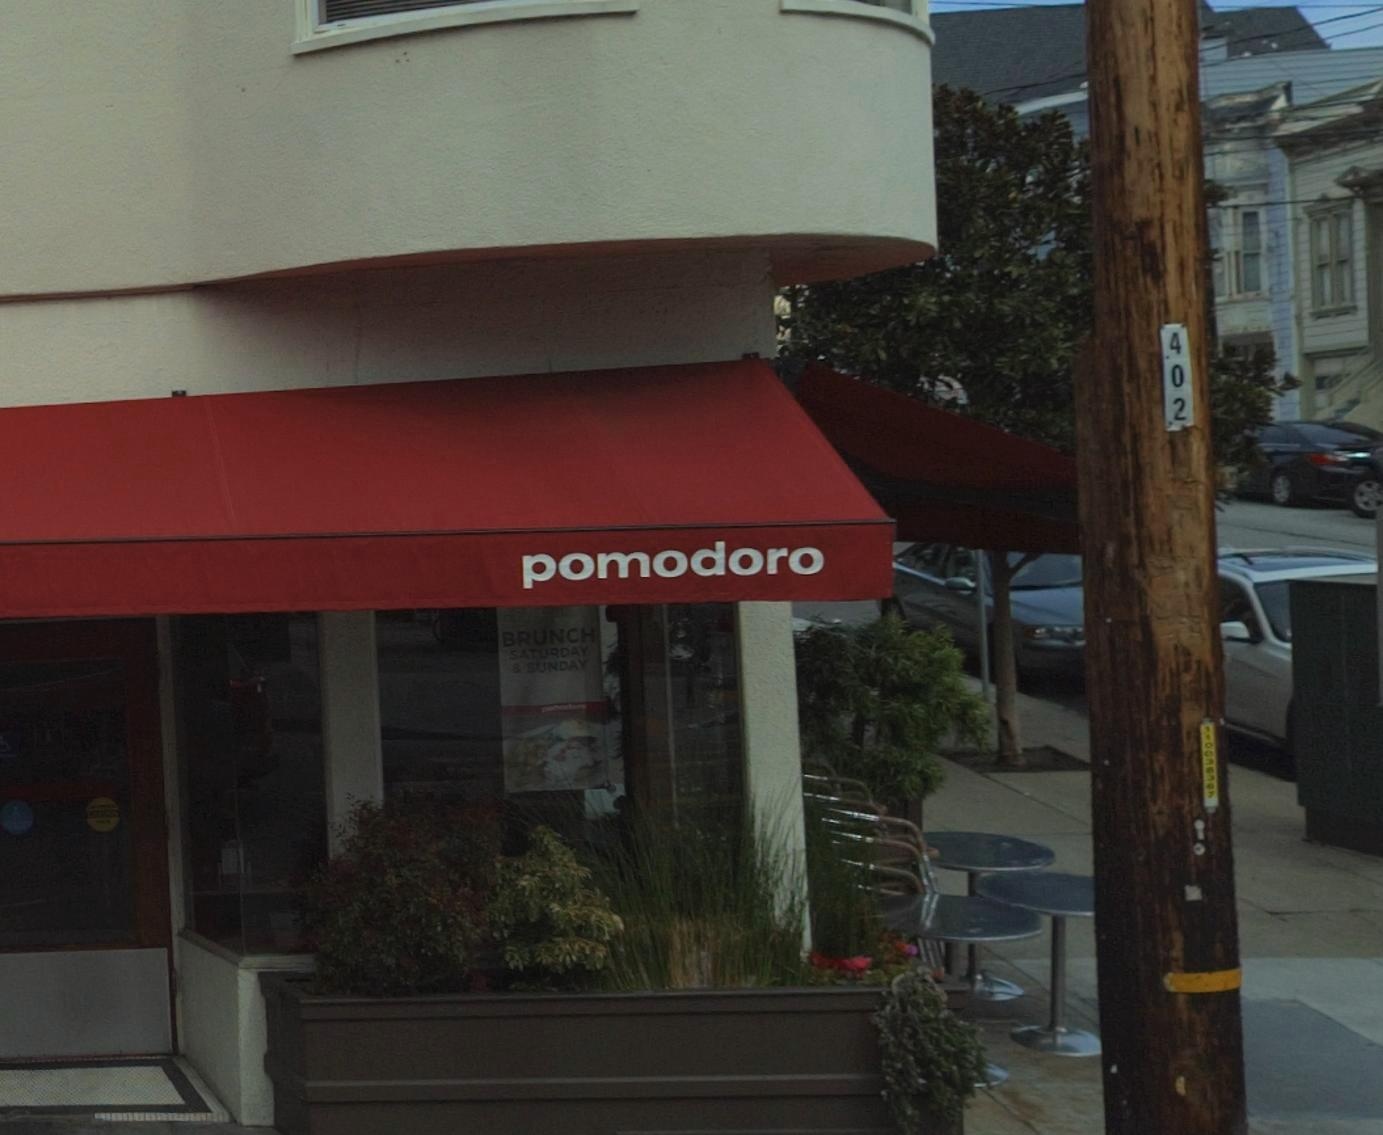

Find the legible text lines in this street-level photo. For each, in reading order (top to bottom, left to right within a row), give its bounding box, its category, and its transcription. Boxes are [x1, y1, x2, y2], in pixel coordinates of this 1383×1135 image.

[1169, 331, 1189, 422] None: 402
[520, 538, 826, 591] BusinessName: pomodoro
[501, 625, 596, 648] None: BRUNCH
[508, 645, 590, 661] None: SATURDAY
[511, 657, 590, 675] None: & SUNDAY
[1203, 724, 1216, 800] None: 11003*367